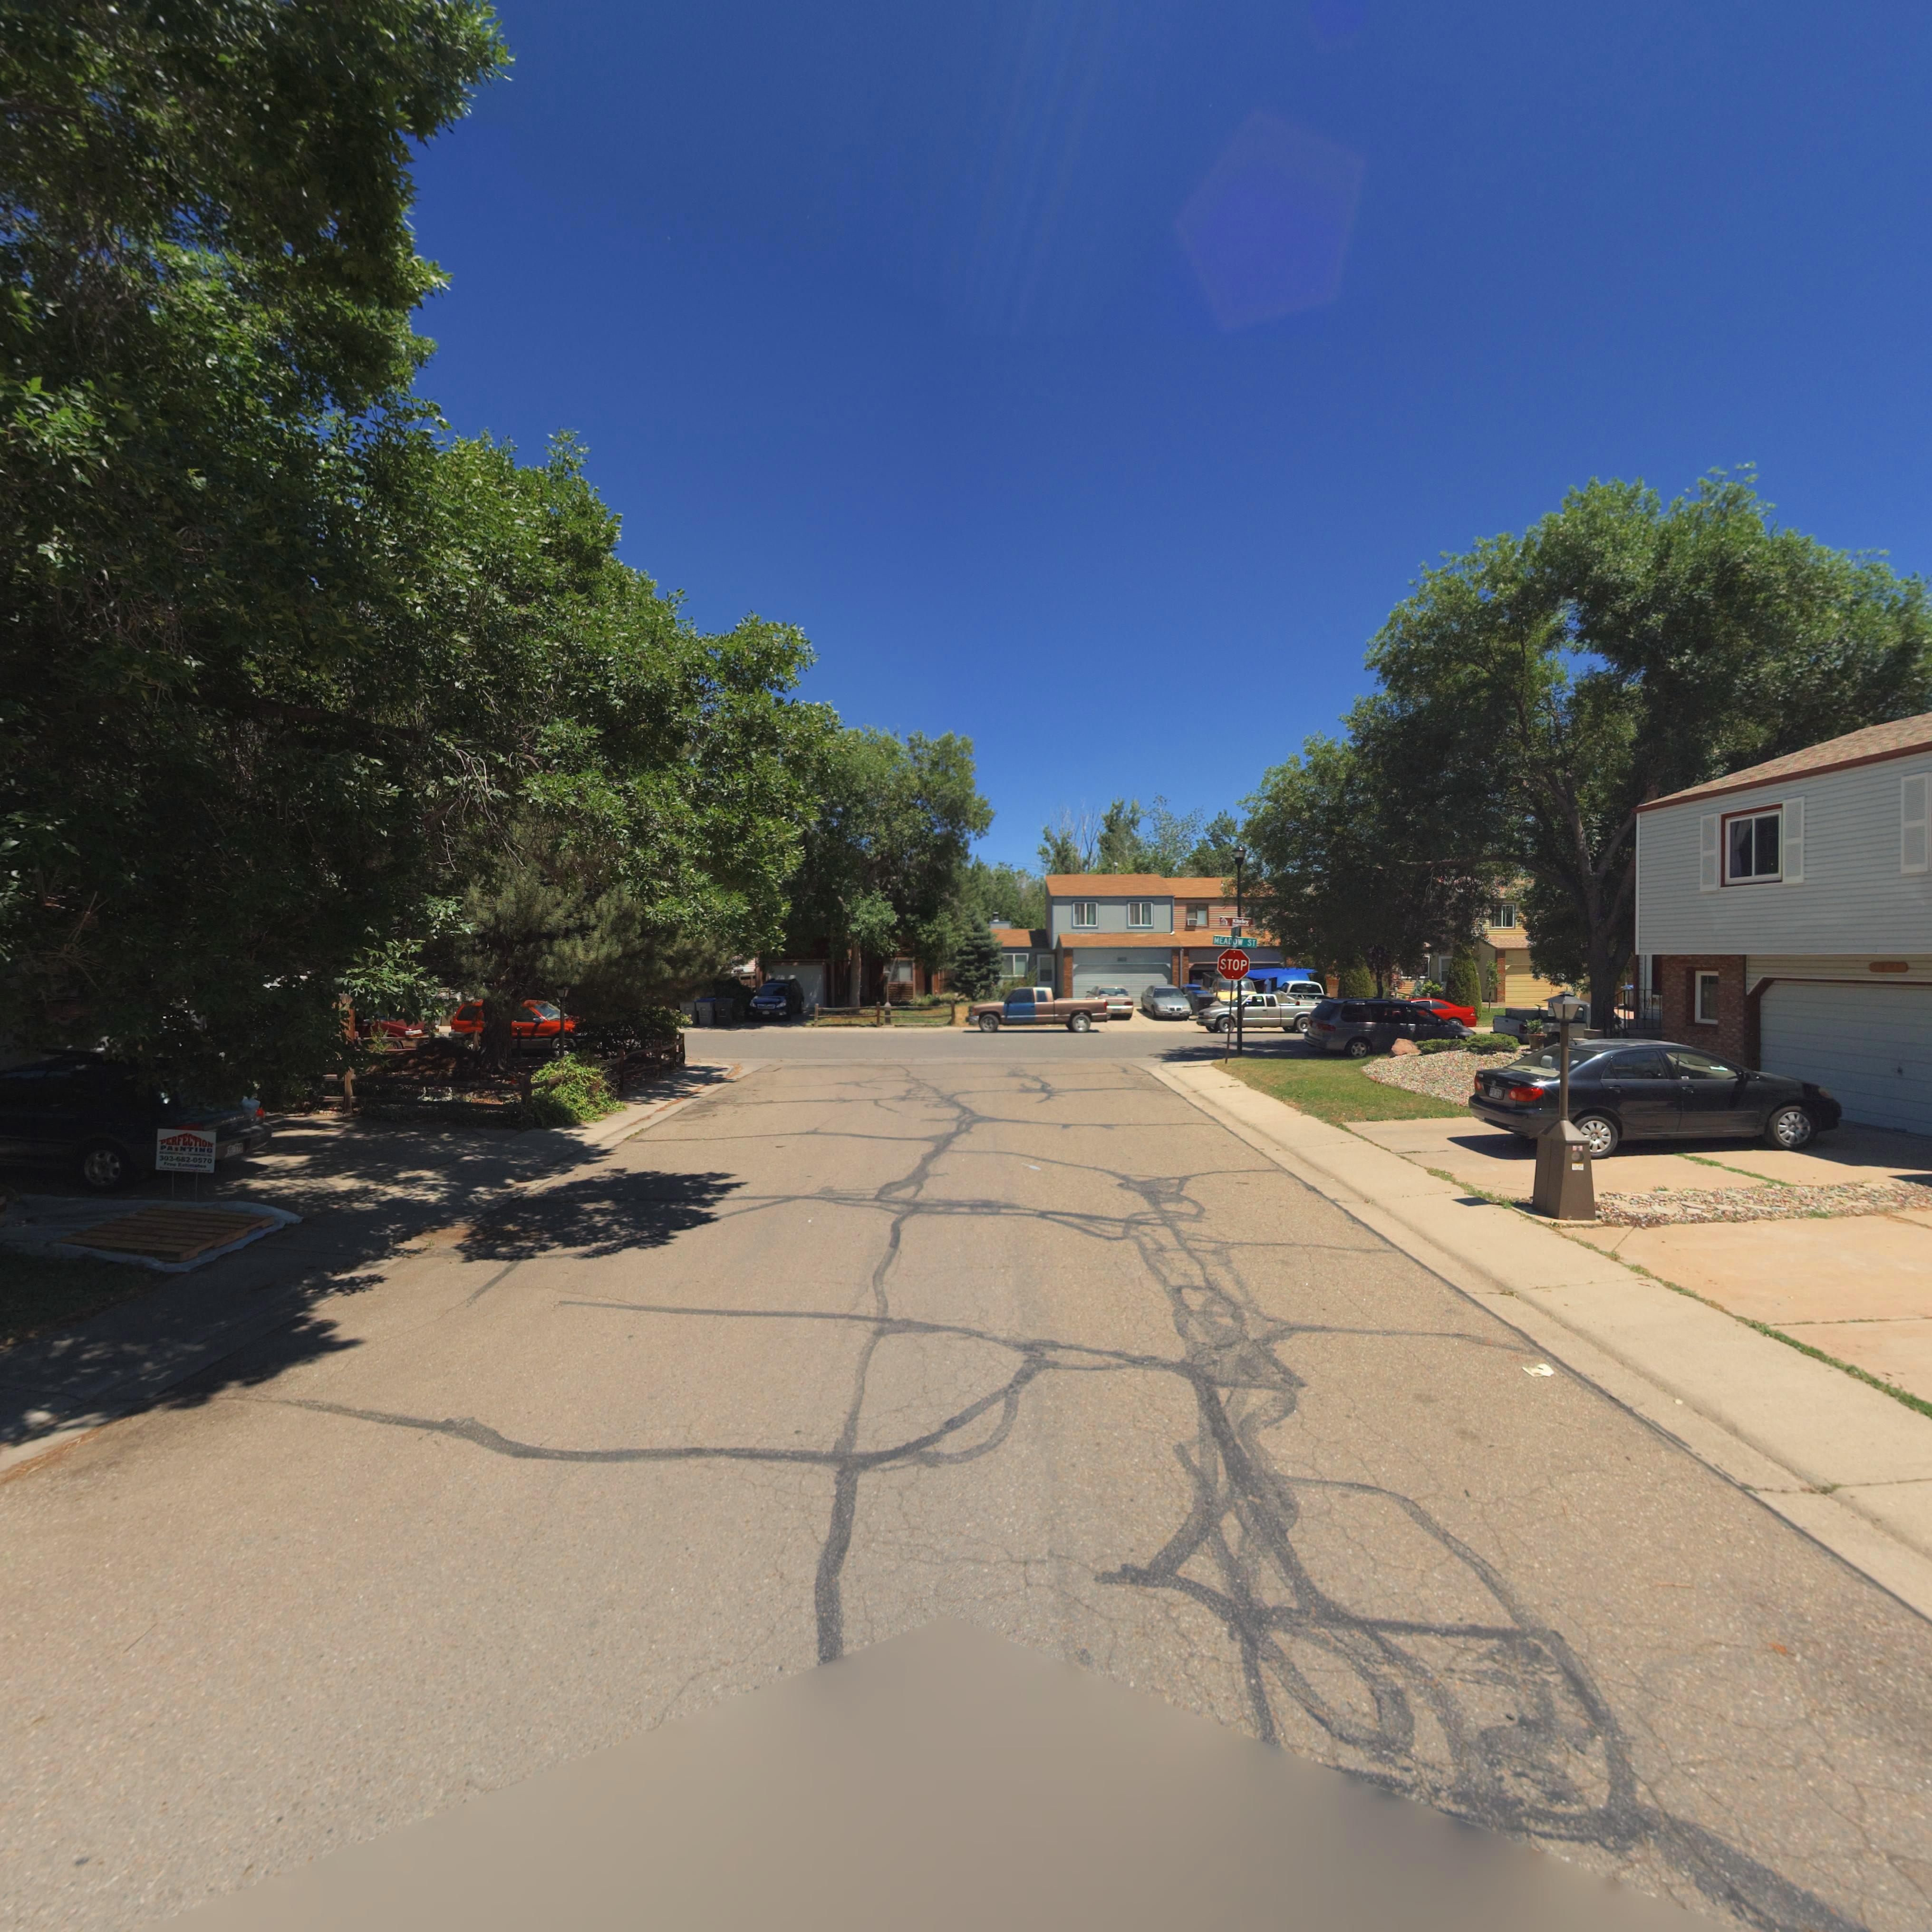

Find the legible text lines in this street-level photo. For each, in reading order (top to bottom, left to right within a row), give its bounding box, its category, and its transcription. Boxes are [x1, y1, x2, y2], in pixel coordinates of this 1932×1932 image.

[1213, 936, 1256, 947] StreetName: MEADOW ST